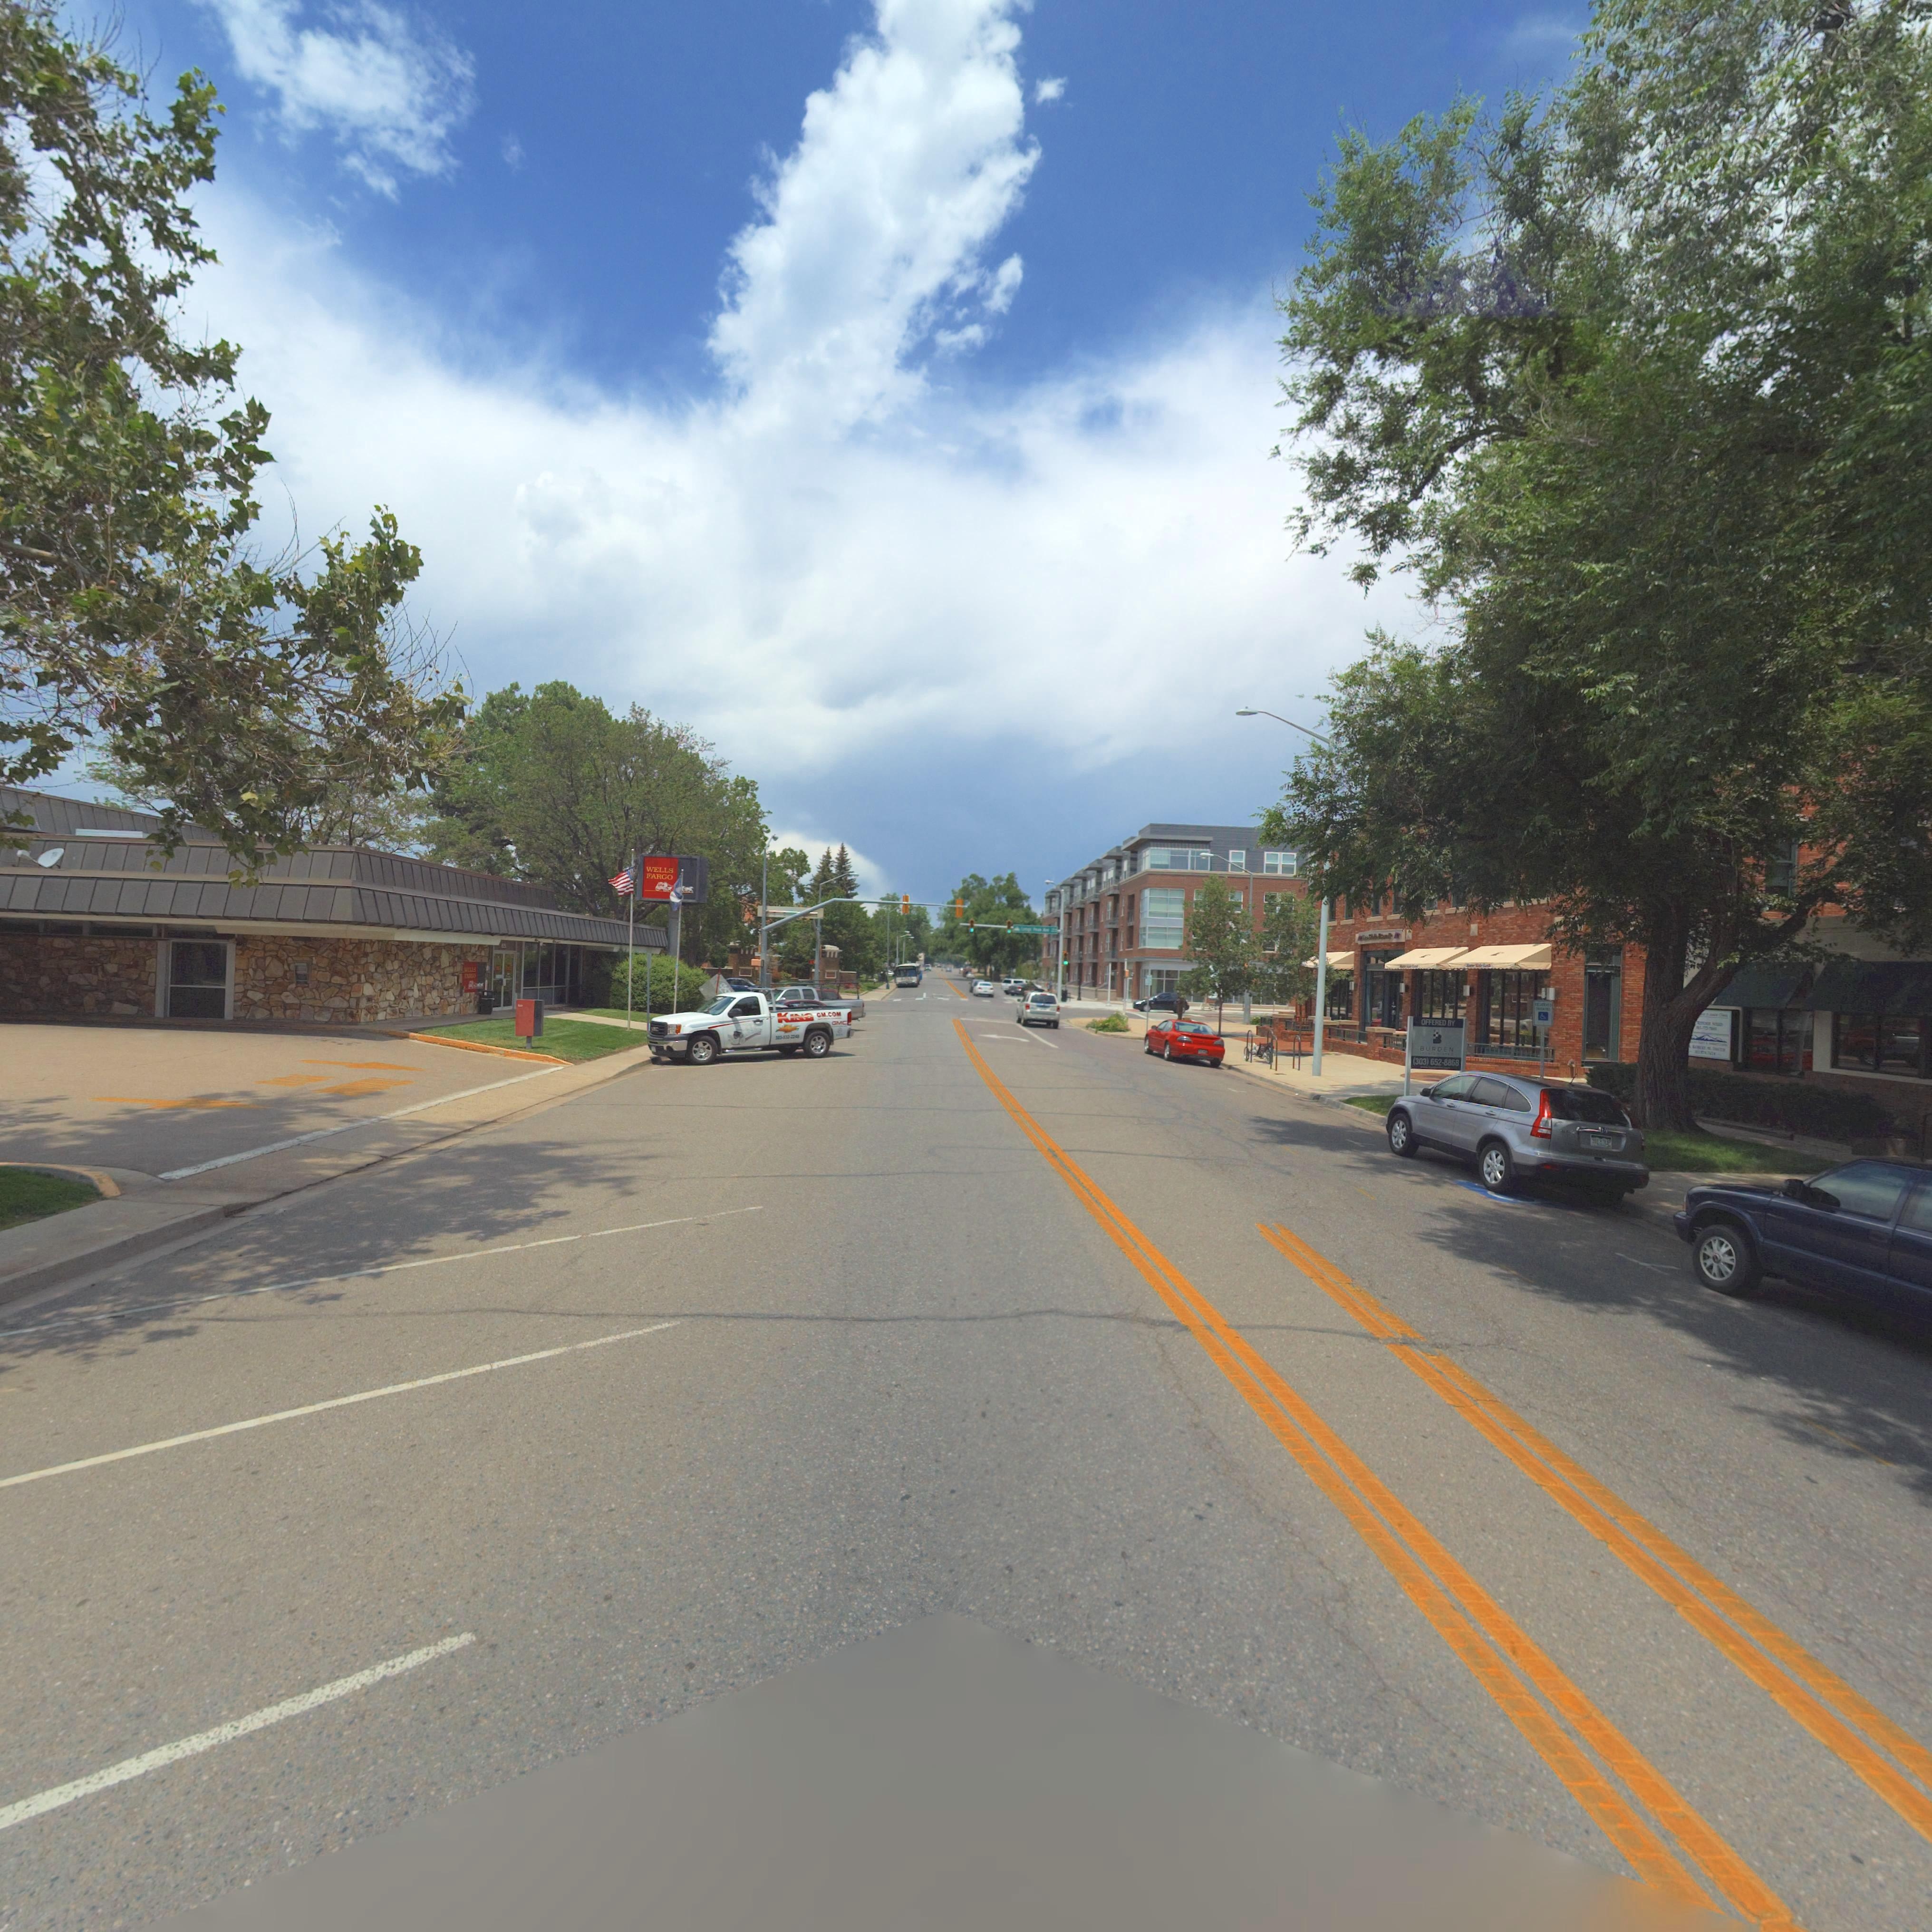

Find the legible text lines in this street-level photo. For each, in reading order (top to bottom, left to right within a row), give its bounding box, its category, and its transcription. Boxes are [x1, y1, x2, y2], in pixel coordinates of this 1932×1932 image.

[646, 867, 673, 873] BusinessName: WELLS
[646, 873, 673, 880] BusinessName: FARGO
[1020, 927, 1049, 932] StreetName: L**** P*** A**
[1361, 932, 1392, 940] BusinessName: **** S**** B***
[501, 943, 506, 948] StreetNumber: **5
[1466, 963, 1490, 967] BusinessName: **** S**** B***
[464, 966, 476, 972] BusinessName: **LLS
[464, 973, 475, 978] BusinessName: ***GO
[1700, 1013, 1728, 1017] BusinessName: ** * ***** C*****